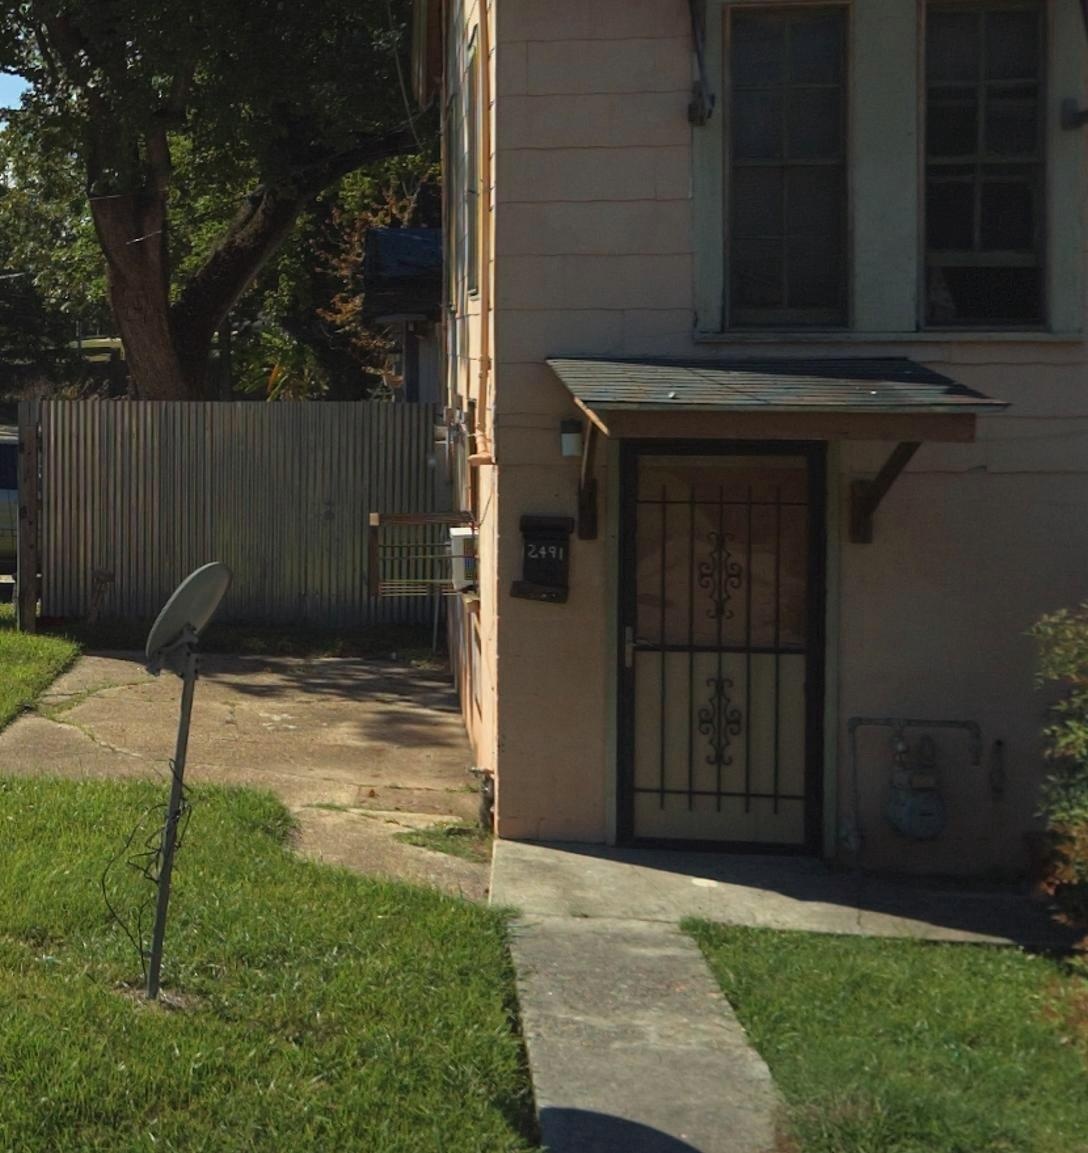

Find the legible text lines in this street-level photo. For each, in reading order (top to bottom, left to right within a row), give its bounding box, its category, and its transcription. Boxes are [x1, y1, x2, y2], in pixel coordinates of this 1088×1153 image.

[526, 542, 565, 561] StreetNumber: 2491